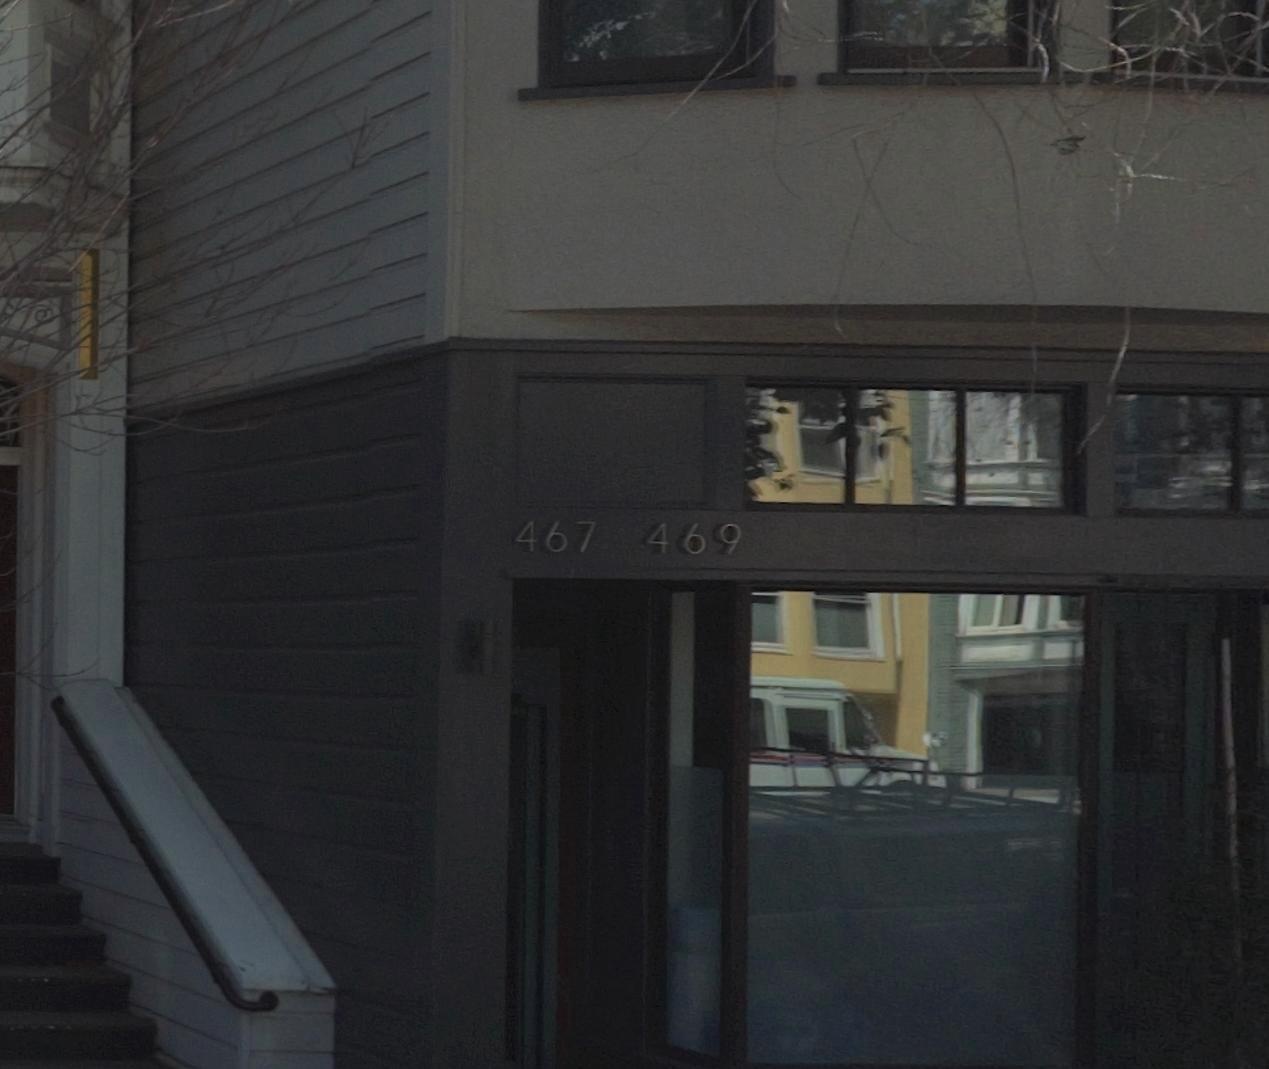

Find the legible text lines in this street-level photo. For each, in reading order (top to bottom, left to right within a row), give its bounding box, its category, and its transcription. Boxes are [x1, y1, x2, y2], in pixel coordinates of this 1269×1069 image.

[515, 520, 598, 555] StreetNumber: 467
[646, 522, 743, 556] StreetNumber: 469